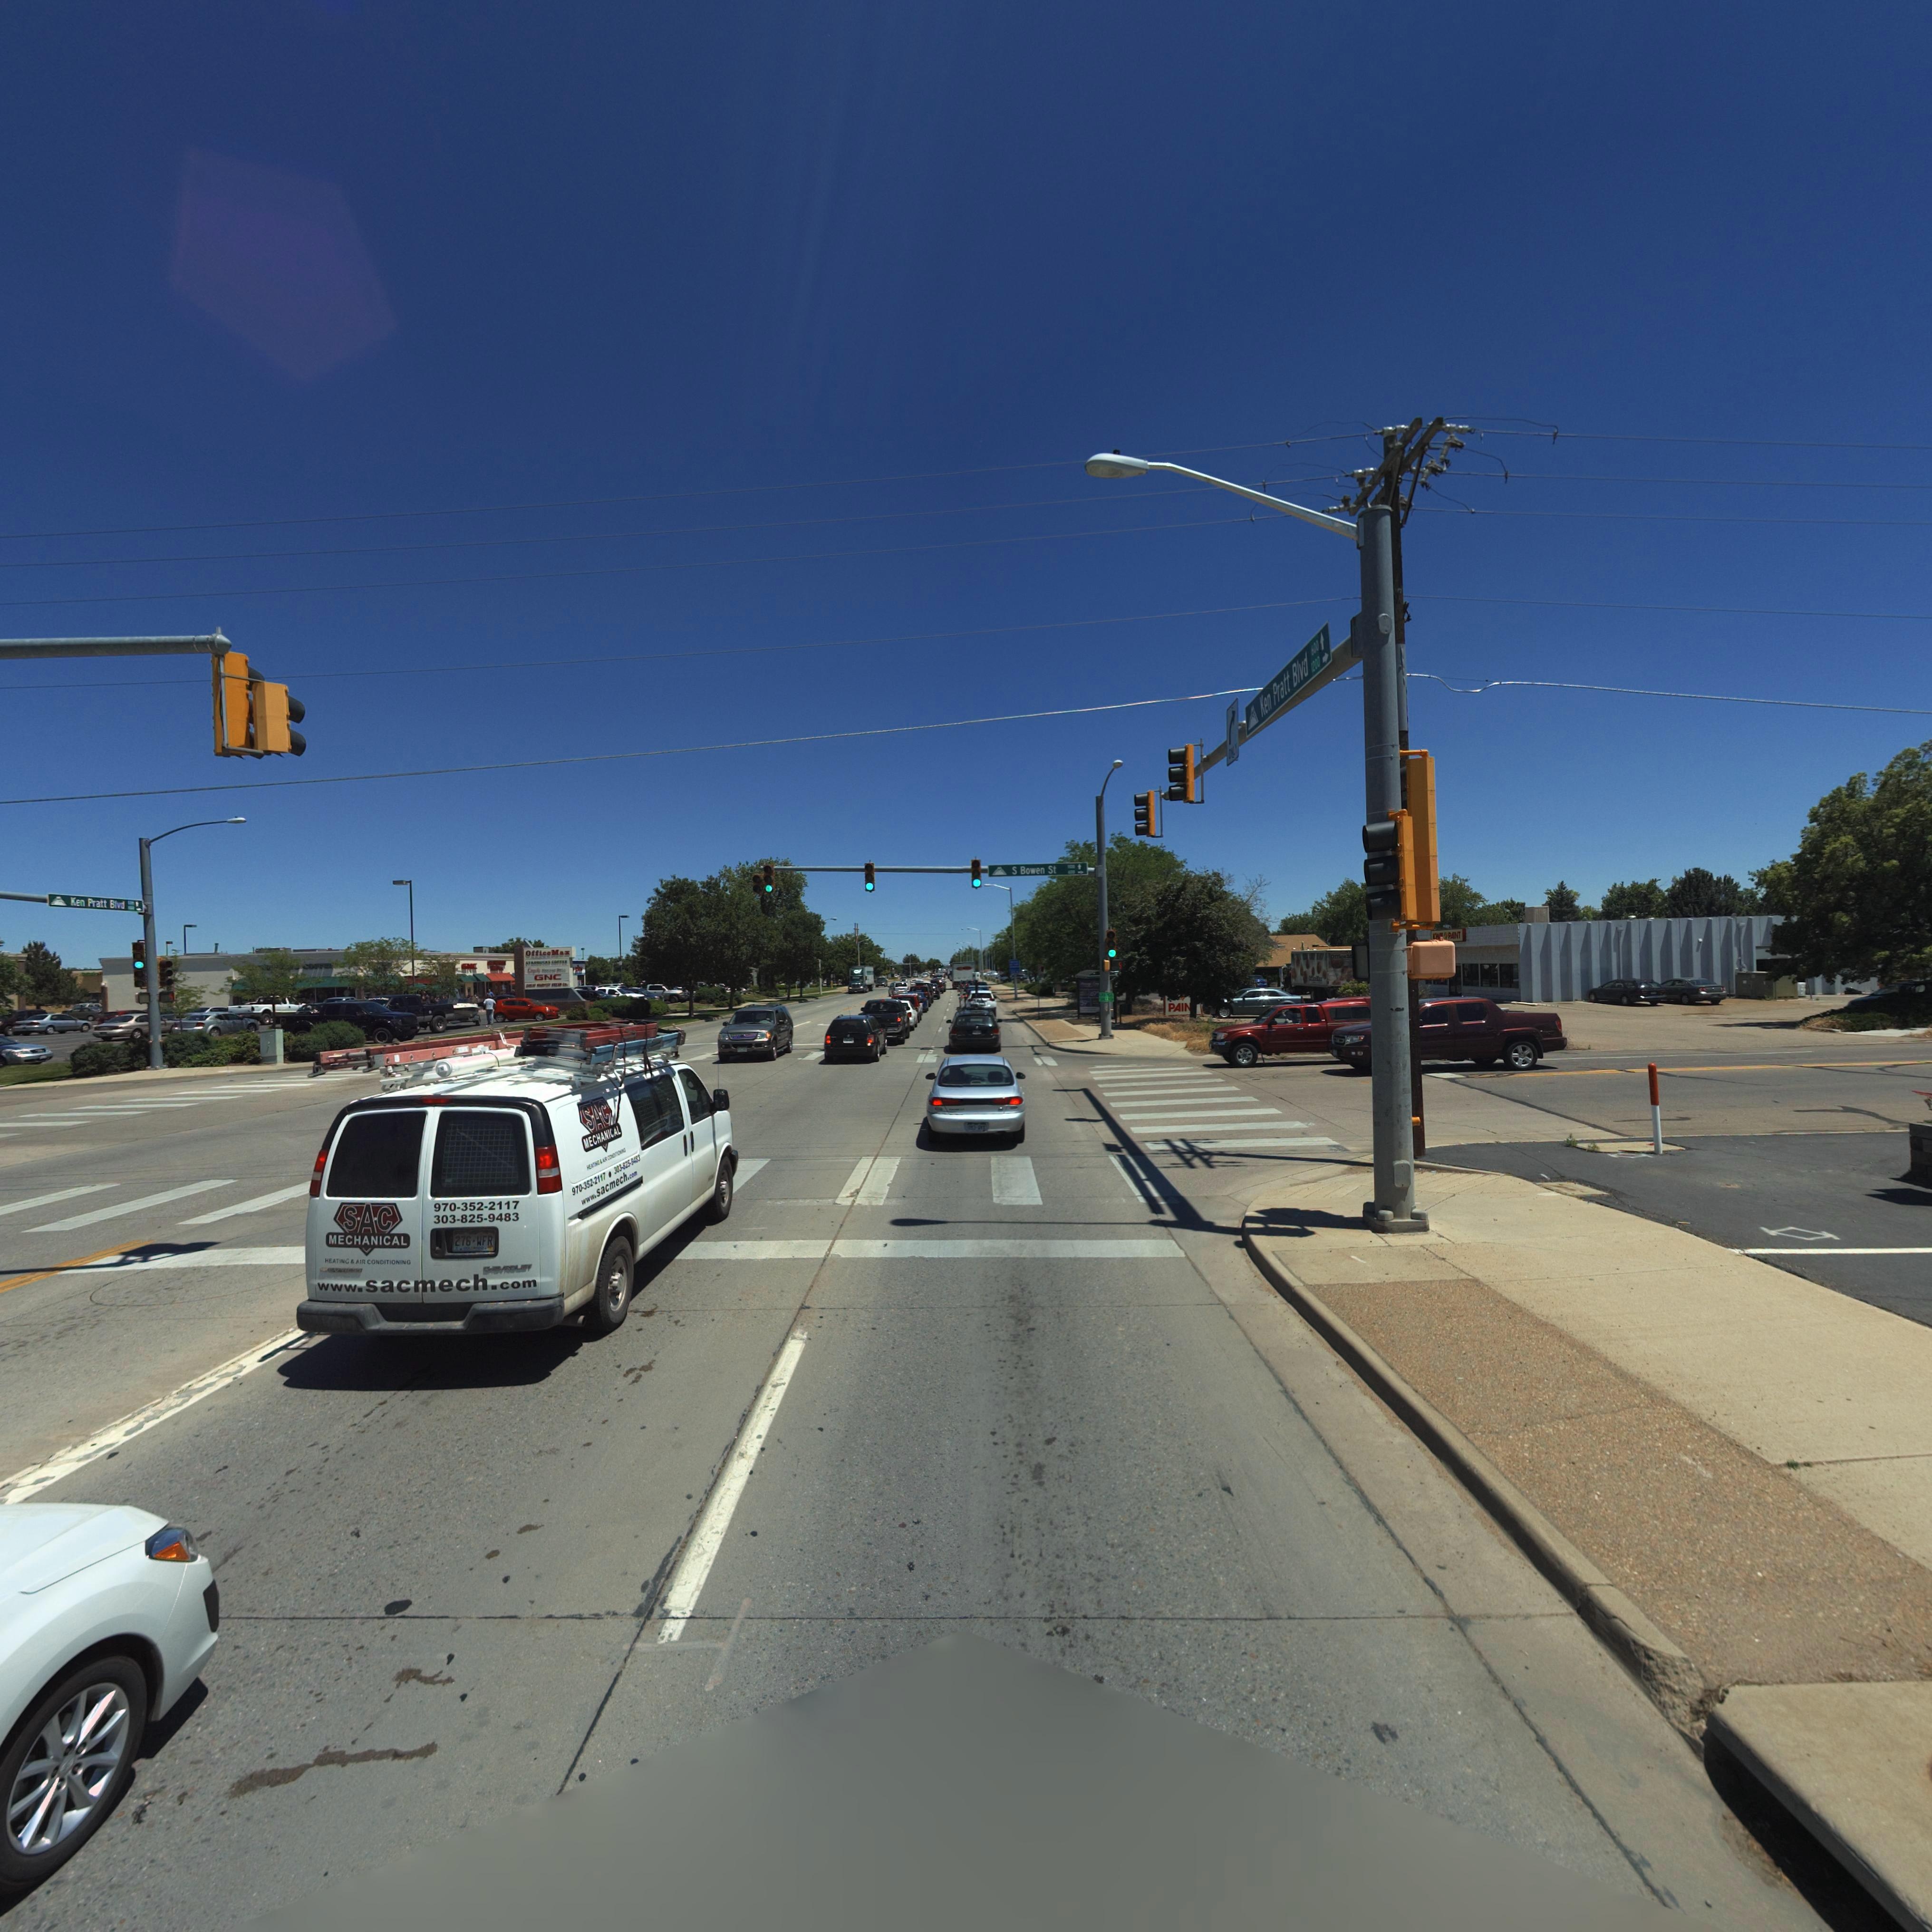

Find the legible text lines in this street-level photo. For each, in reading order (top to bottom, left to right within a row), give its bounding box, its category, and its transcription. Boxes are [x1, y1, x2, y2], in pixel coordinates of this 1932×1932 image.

[1310, 639, 1319, 656] StreetNumberRange: 600
[1310, 649, 1329, 674] StreetNumberRange: 1200 ->
[1258, 649, 1309, 719] StreetName: Ken Pratt Blvd
[1011, 865, 1057, 875] StreetName: S Bowen St
[1067, 865, 1075, 868] StreetNumberRange: *00
[1067, 869, 1083, 874] StreetNumberRange: 600 ->
[69, 896, 125, 909] StreetName: Ken Pratt Blvd
[1432, 931, 1461, 939] BusinessName: ***** * PAINT 
[525, 949, 570, 956] BusinessName: Office Max
[302, 963, 334, 969] BusinessName: COFF**
[461, 963, 477, 969] BusinessName: **C
[525, 959, 567, 964] BusinessName: STA***CKS COFFEE
[533, 974, 561, 981] BusinessName: GNC
[1168, 1002, 1190, 1012] BusinessName: PAIN